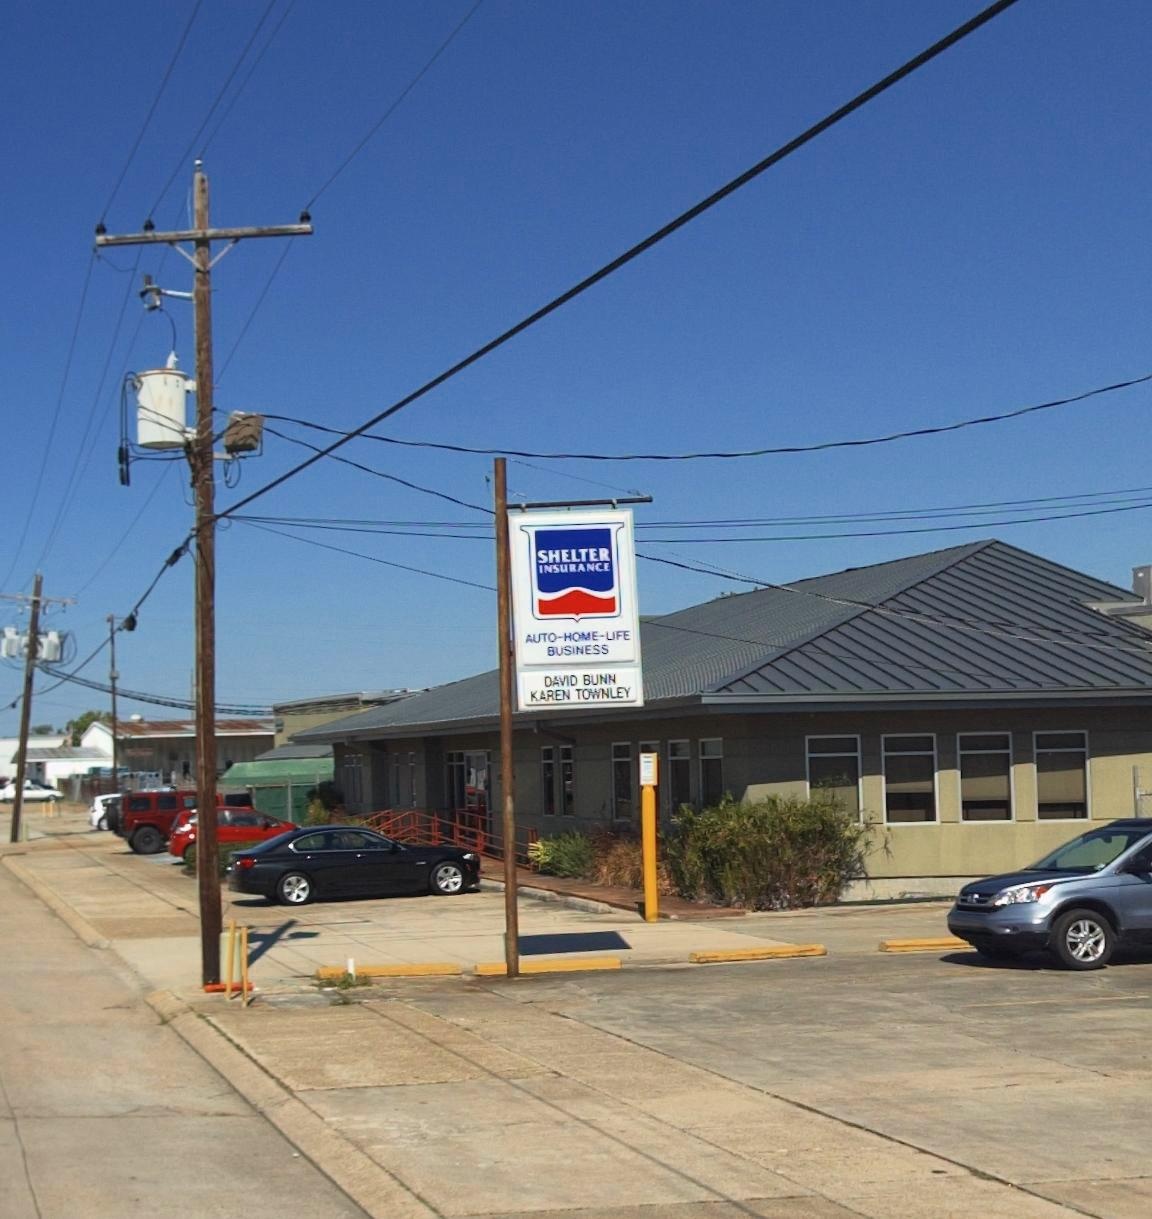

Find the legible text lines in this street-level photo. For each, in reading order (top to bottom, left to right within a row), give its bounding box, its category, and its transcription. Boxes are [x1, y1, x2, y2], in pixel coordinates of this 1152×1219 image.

[536, 545, 612, 565] BusinessName: SHELTER
[536, 561, 613, 576] BusinessName: INSURANCE
[522, 627, 633, 646] None: AUTO-HOME-LIFE
[544, 642, 612, 659] None: BUSINESS
[541, 670, 623, 690] None: DAVID BUNN
[528, 684, 635, 705] None: KAREN TOWNLET